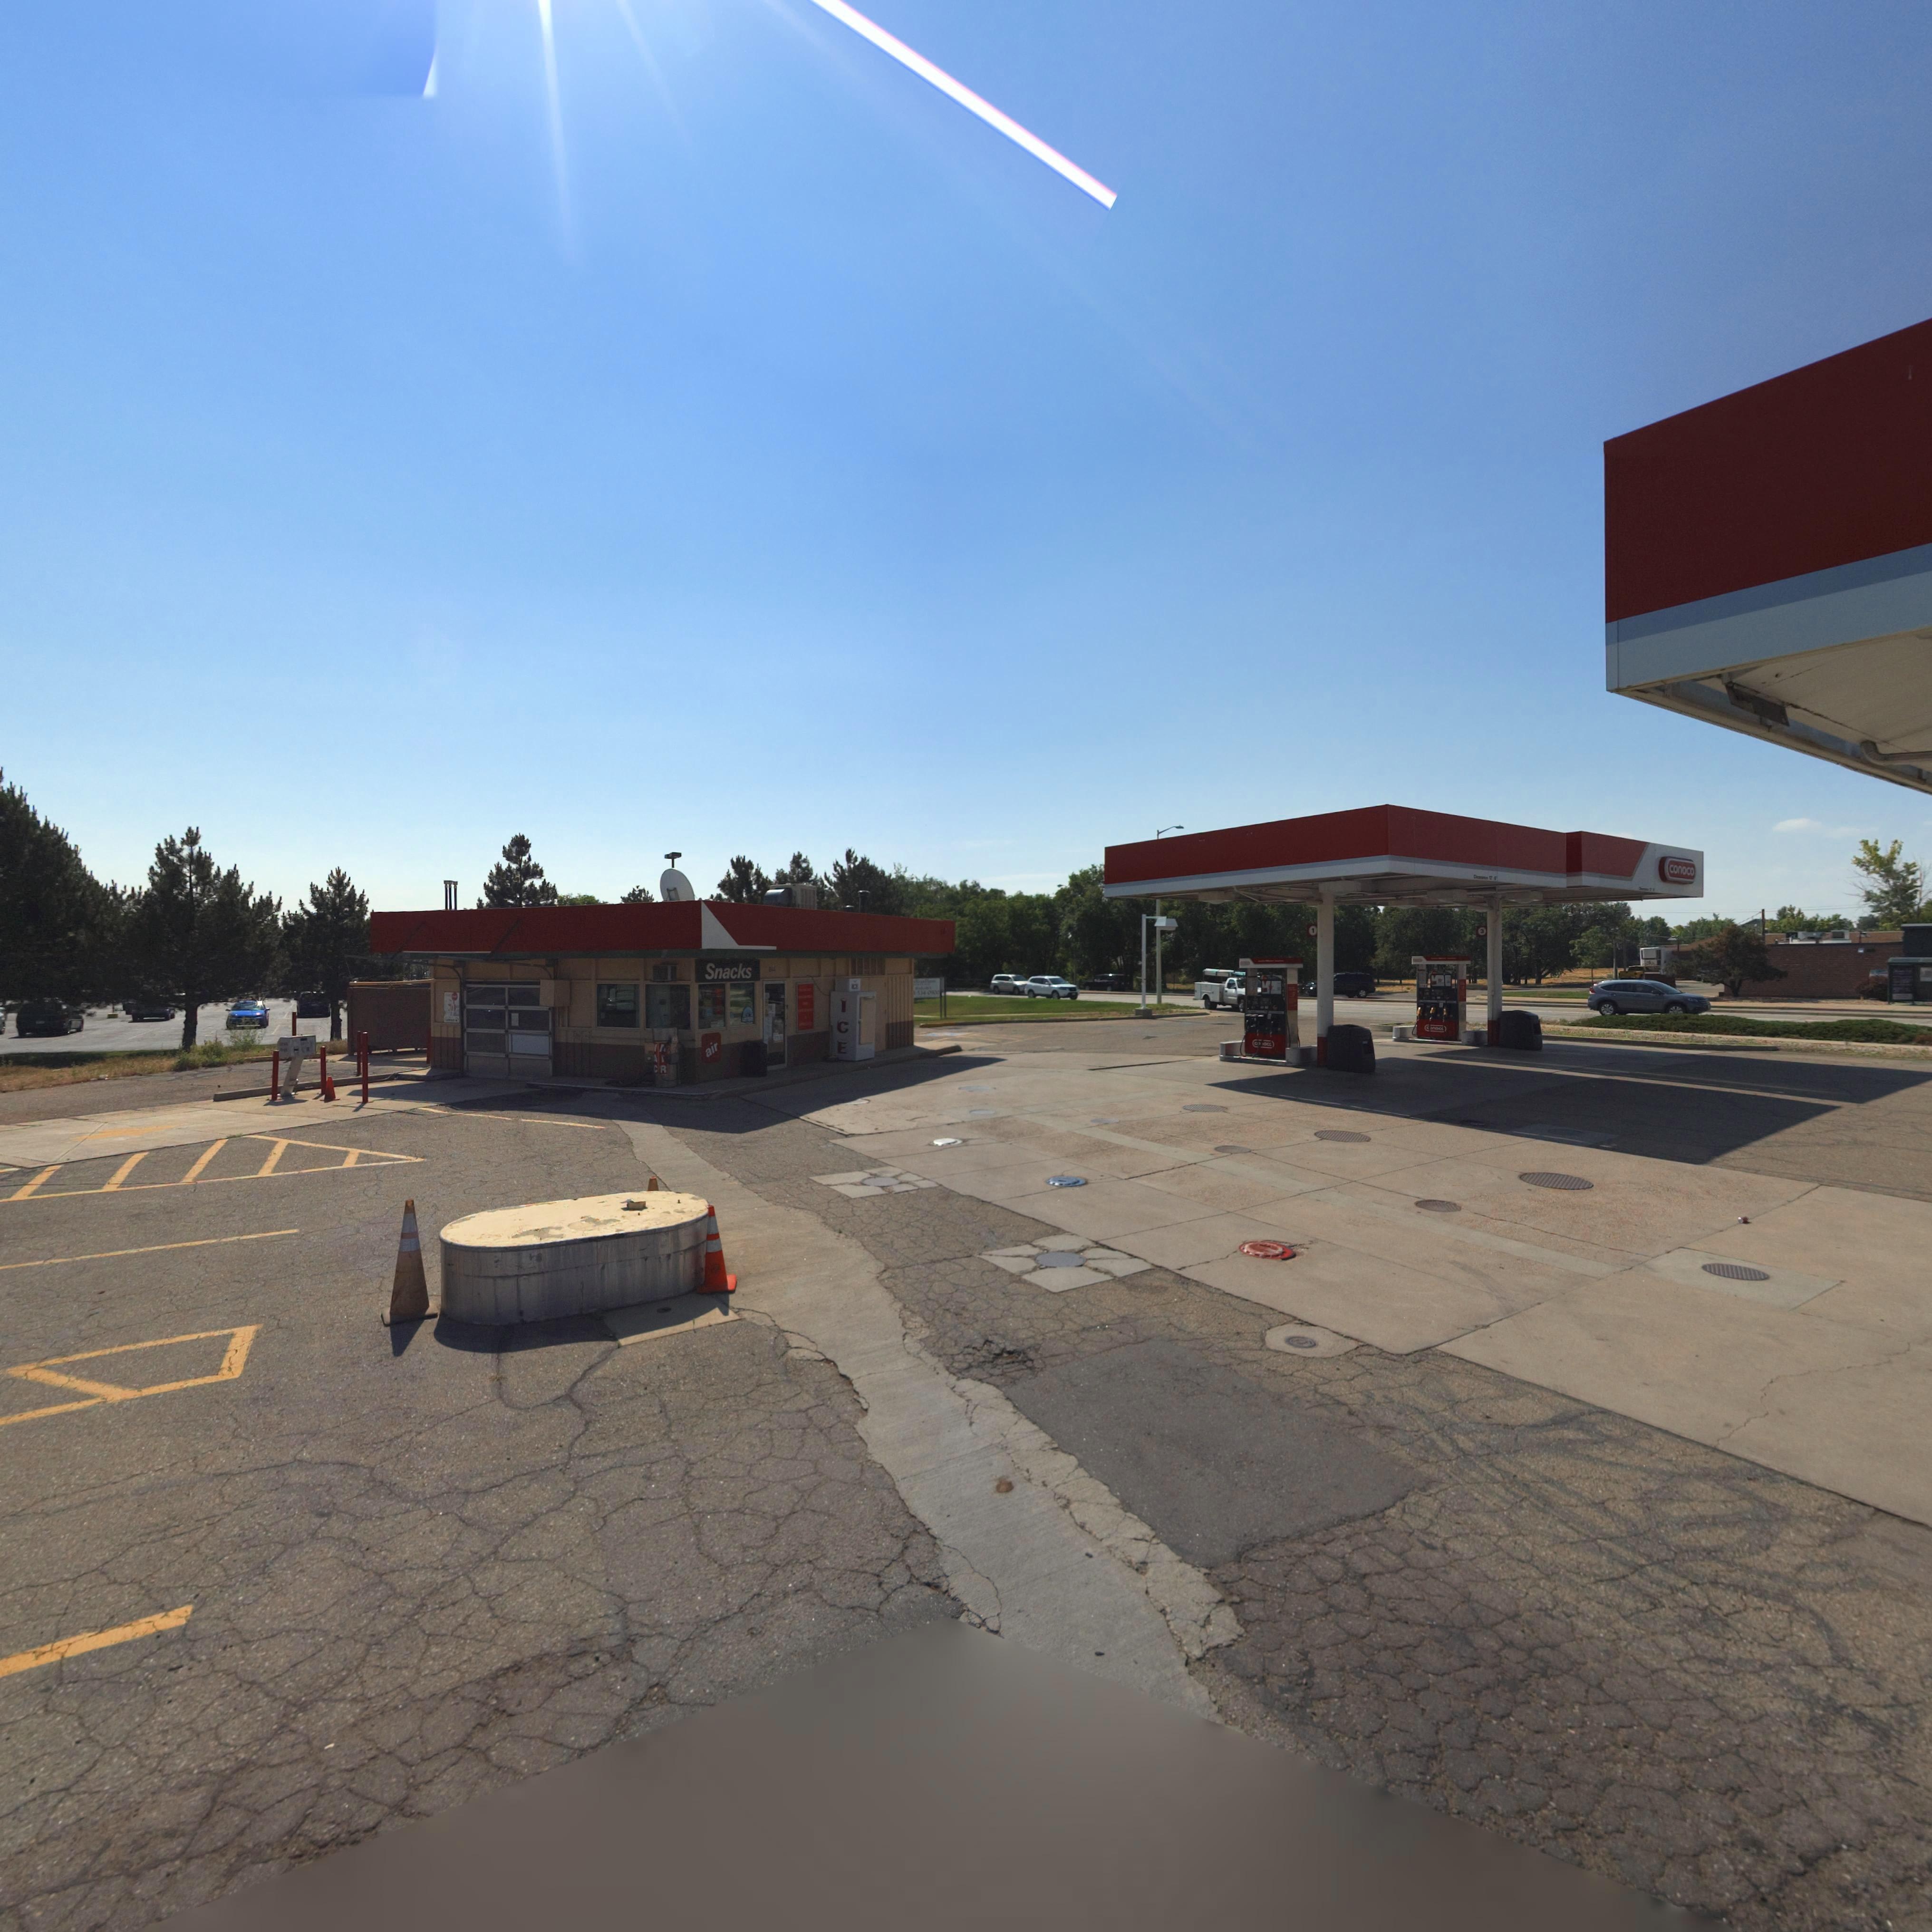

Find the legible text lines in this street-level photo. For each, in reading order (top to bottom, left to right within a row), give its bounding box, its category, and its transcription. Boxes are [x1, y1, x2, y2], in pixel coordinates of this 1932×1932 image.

[1669, 864, 1694, 876] BusinessName: conoco
[769, 966, 775, 972] StreetNumber: 8**
[1426, 1026, 1444, 1030] BusinessName: c*no**
[1254, 1041, 1272, 1046] BusinessName: ***o**